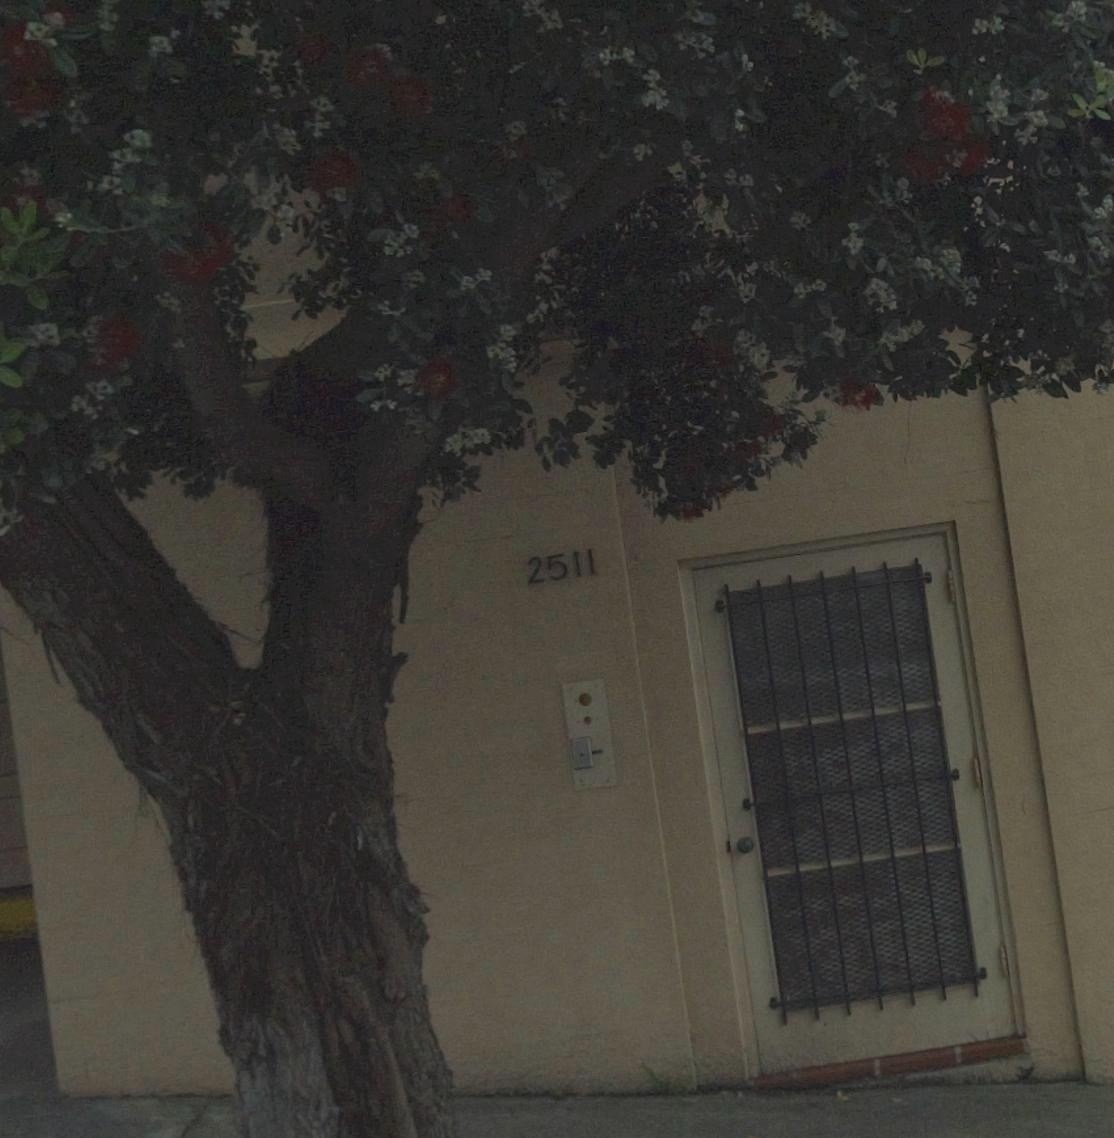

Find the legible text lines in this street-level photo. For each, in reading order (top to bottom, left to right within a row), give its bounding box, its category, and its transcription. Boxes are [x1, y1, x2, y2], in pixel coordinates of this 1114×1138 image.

[526, 544, 598, 587] StreetNumber: 2511